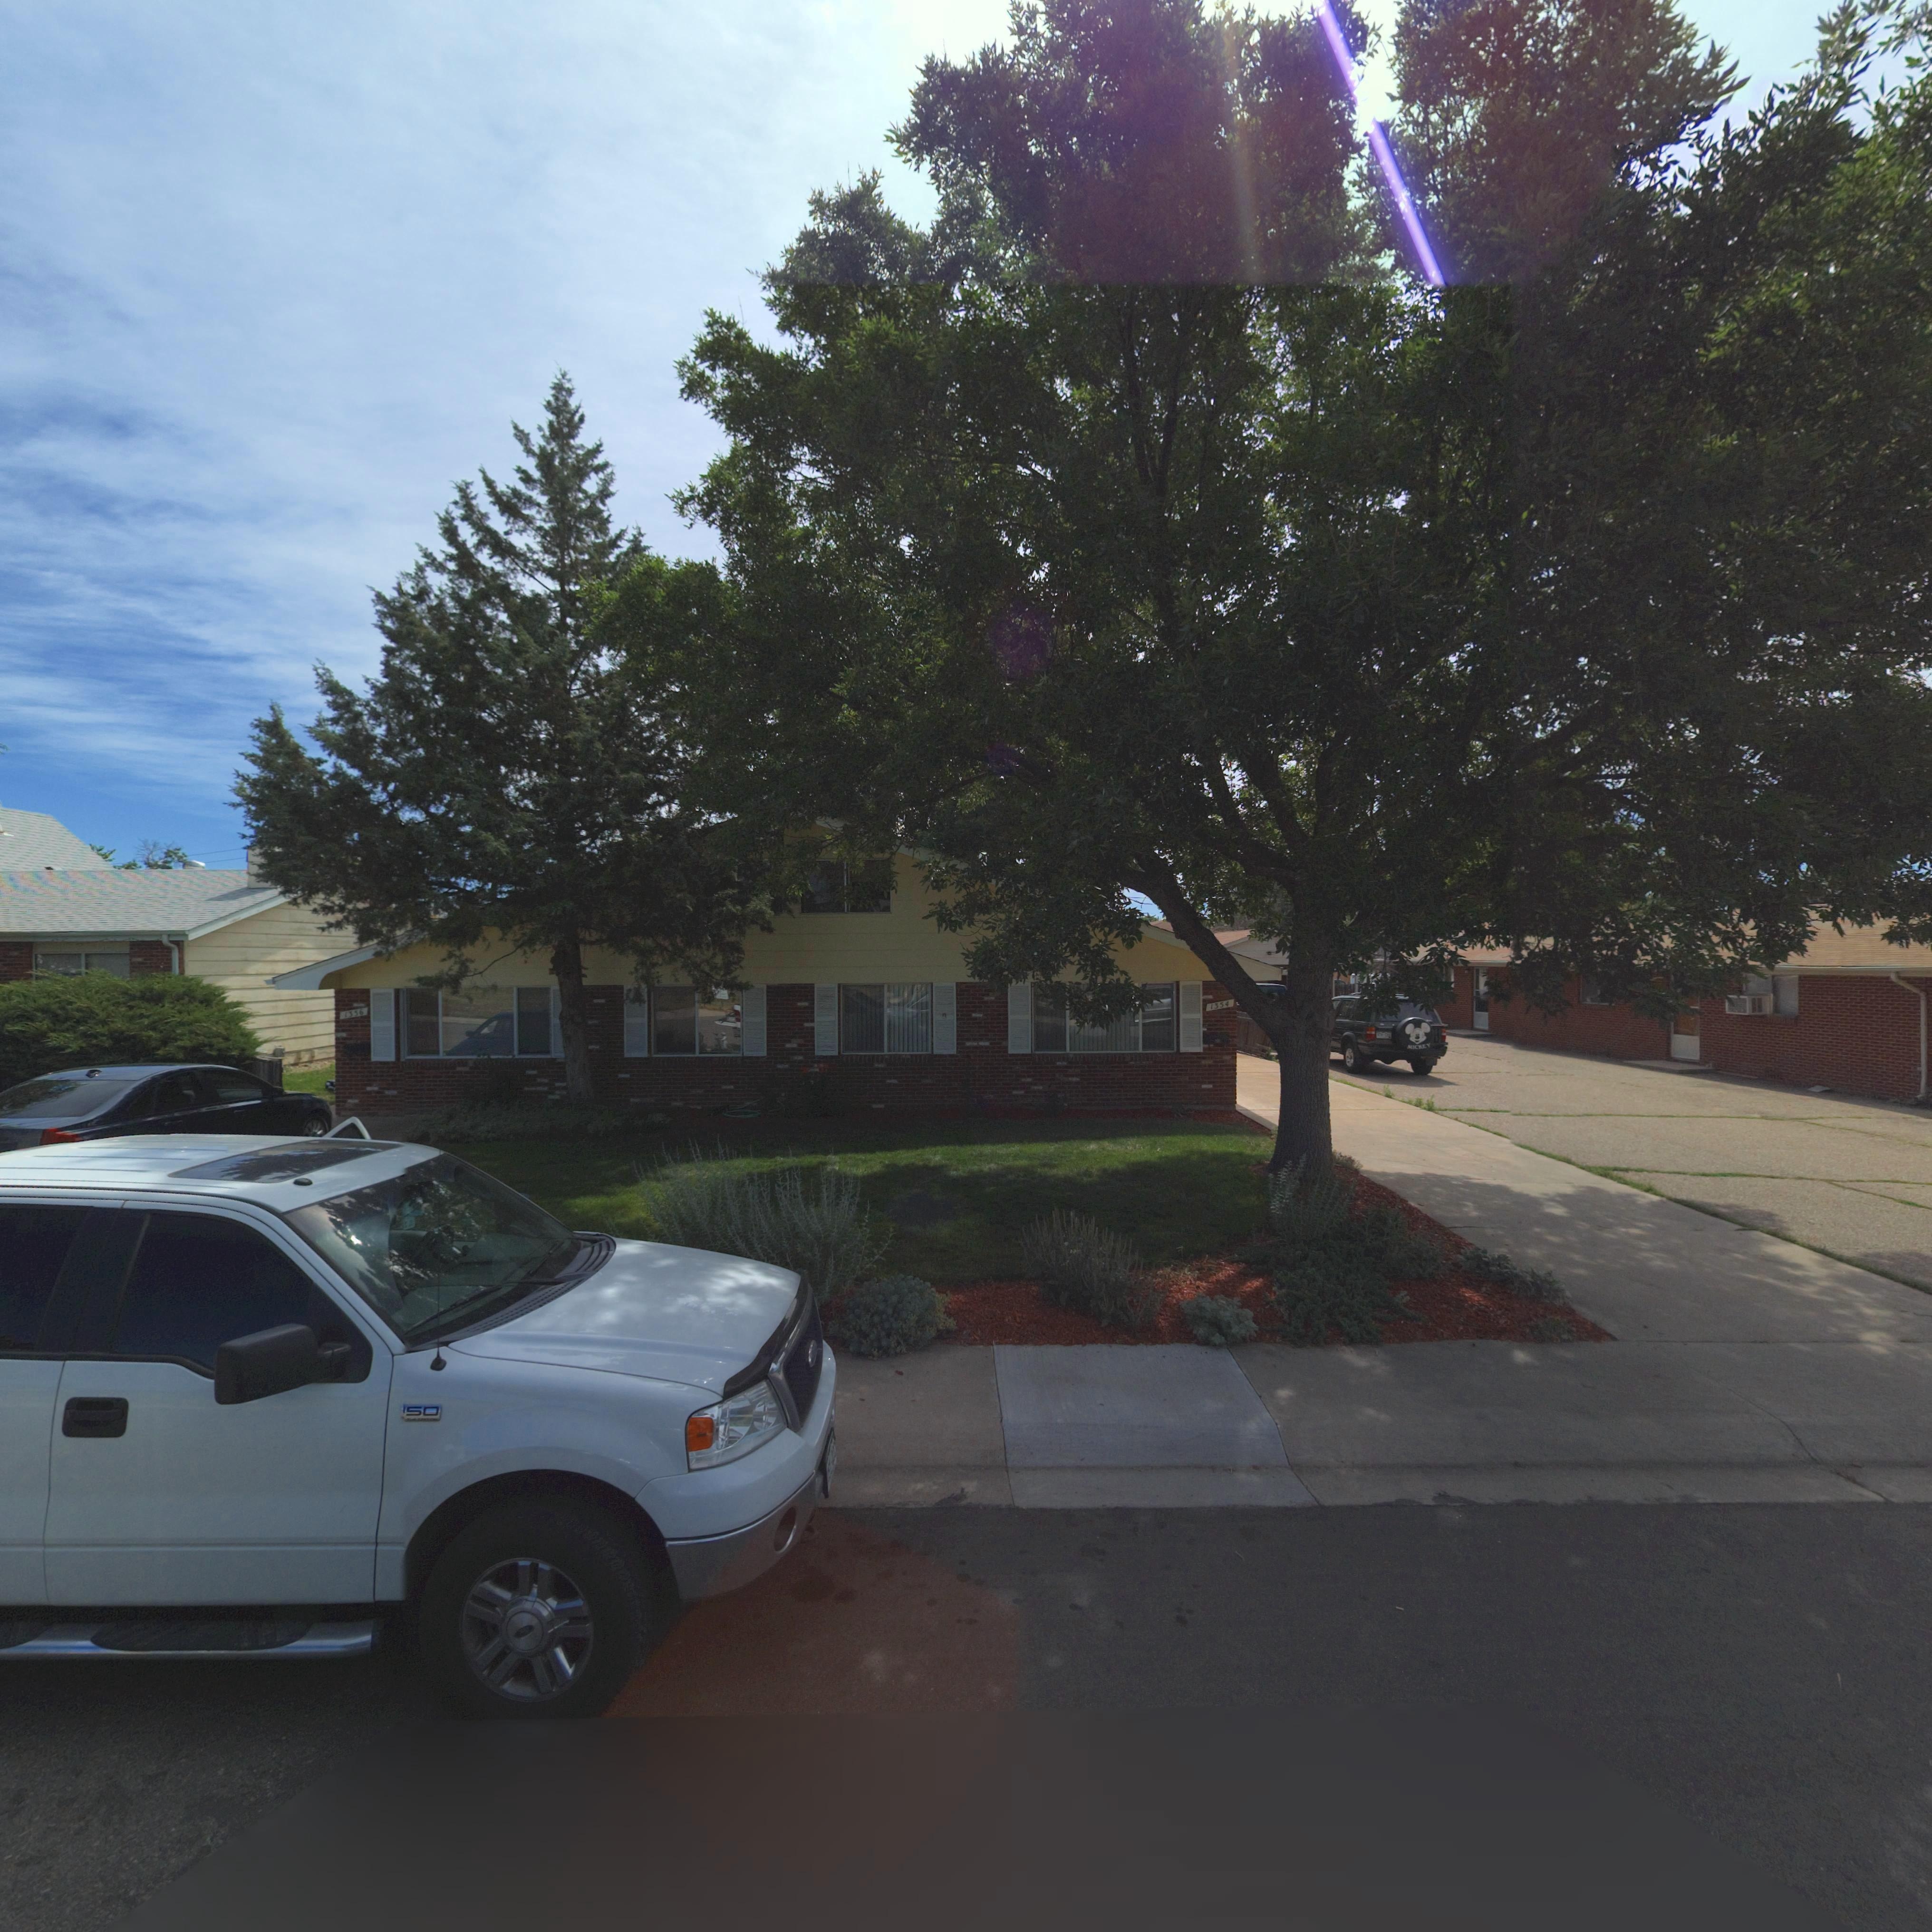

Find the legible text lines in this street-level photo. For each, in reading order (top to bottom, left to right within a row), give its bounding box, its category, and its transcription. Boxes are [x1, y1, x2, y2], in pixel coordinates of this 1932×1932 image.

[1210, 1000, 1229, 1010] StreetNumber: 1354
[344, 1008, 364, 1018] StreetNumber: 1356